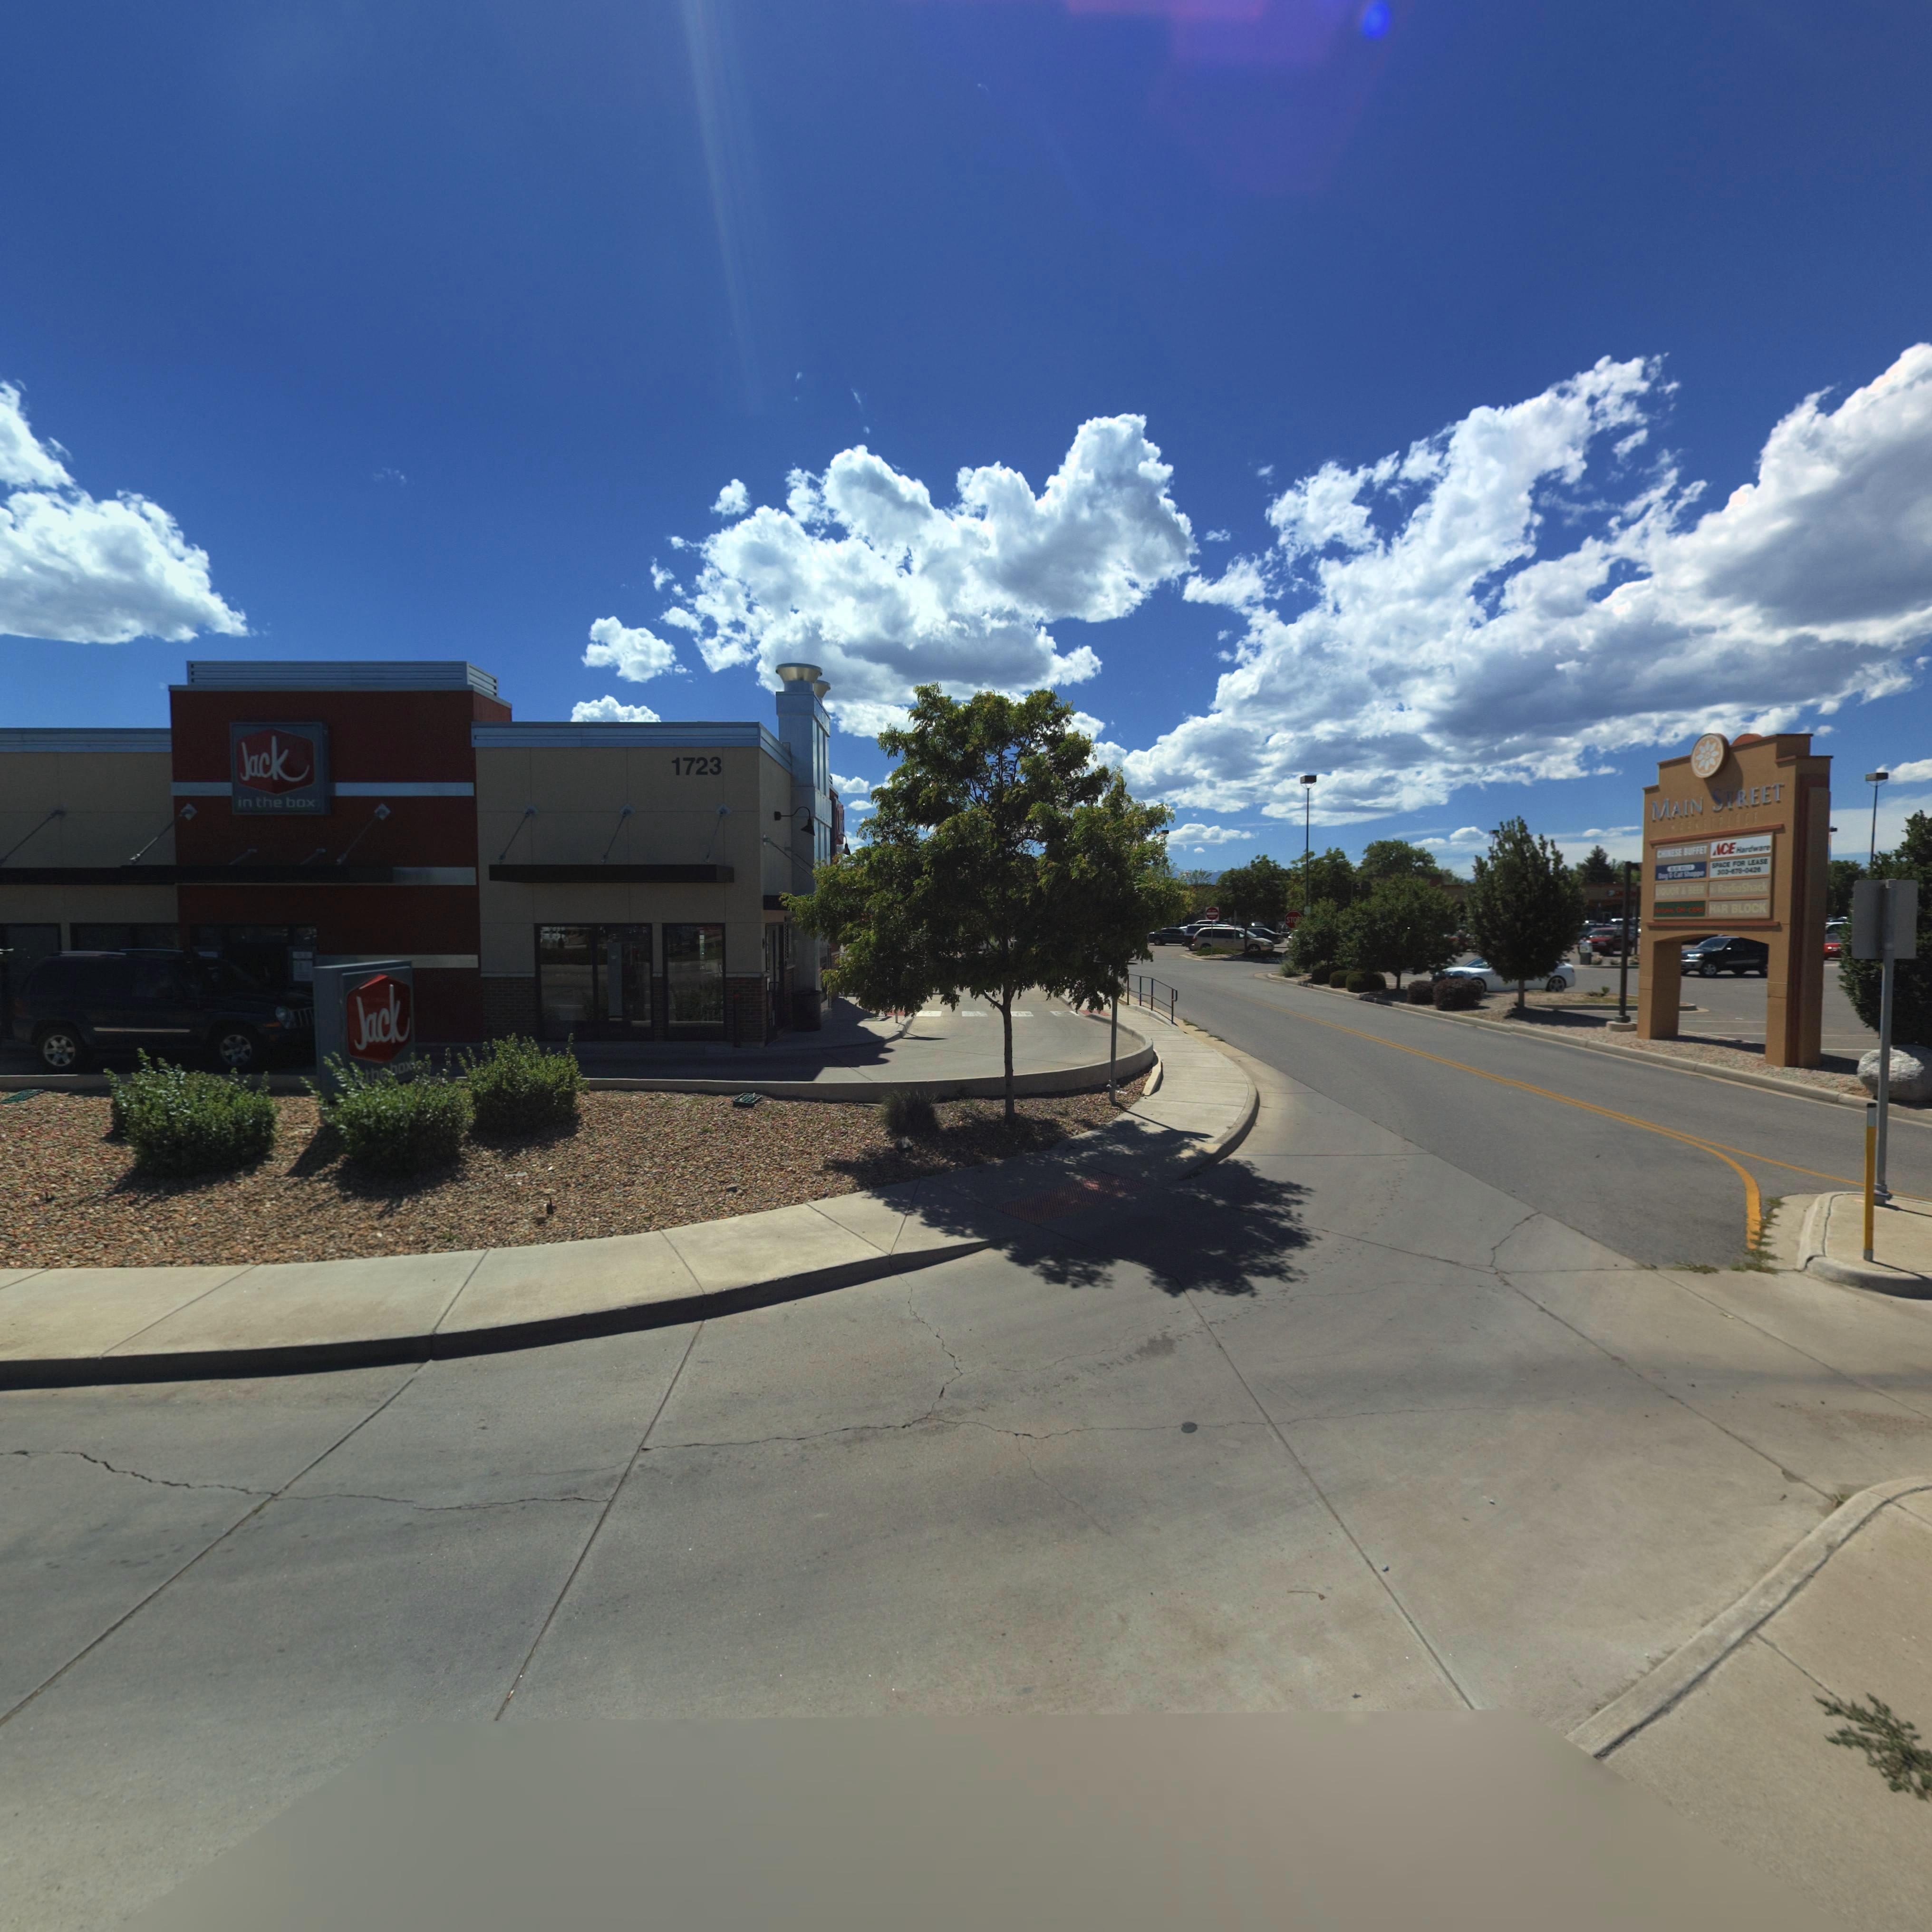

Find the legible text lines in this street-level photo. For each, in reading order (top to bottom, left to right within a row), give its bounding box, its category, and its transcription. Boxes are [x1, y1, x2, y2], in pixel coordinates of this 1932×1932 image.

[238, 734, 301, 783] BusinessName: Jack
[670, 756, 722, 776] StreetNumber: 1723
[238, 796, 314, 809] BusinessName: in the box
[1712, 842, 1737, 856] BusinessName: *CE
[1735, 844, 1770, 853] BusinessName: Hardware
[1657, 870, 1704, 880] BusinessName: Dog & Cat S**pp* 
[1718, 881, 1768, 893] BusinessName: Radio Shack
[1709, 903, 1766, 914] BusinessName: H&R BLOCK
[352, 983, 410, 1052] BusinessName: Jack
[364, 1058, 412, 1084] BusinessName: the box